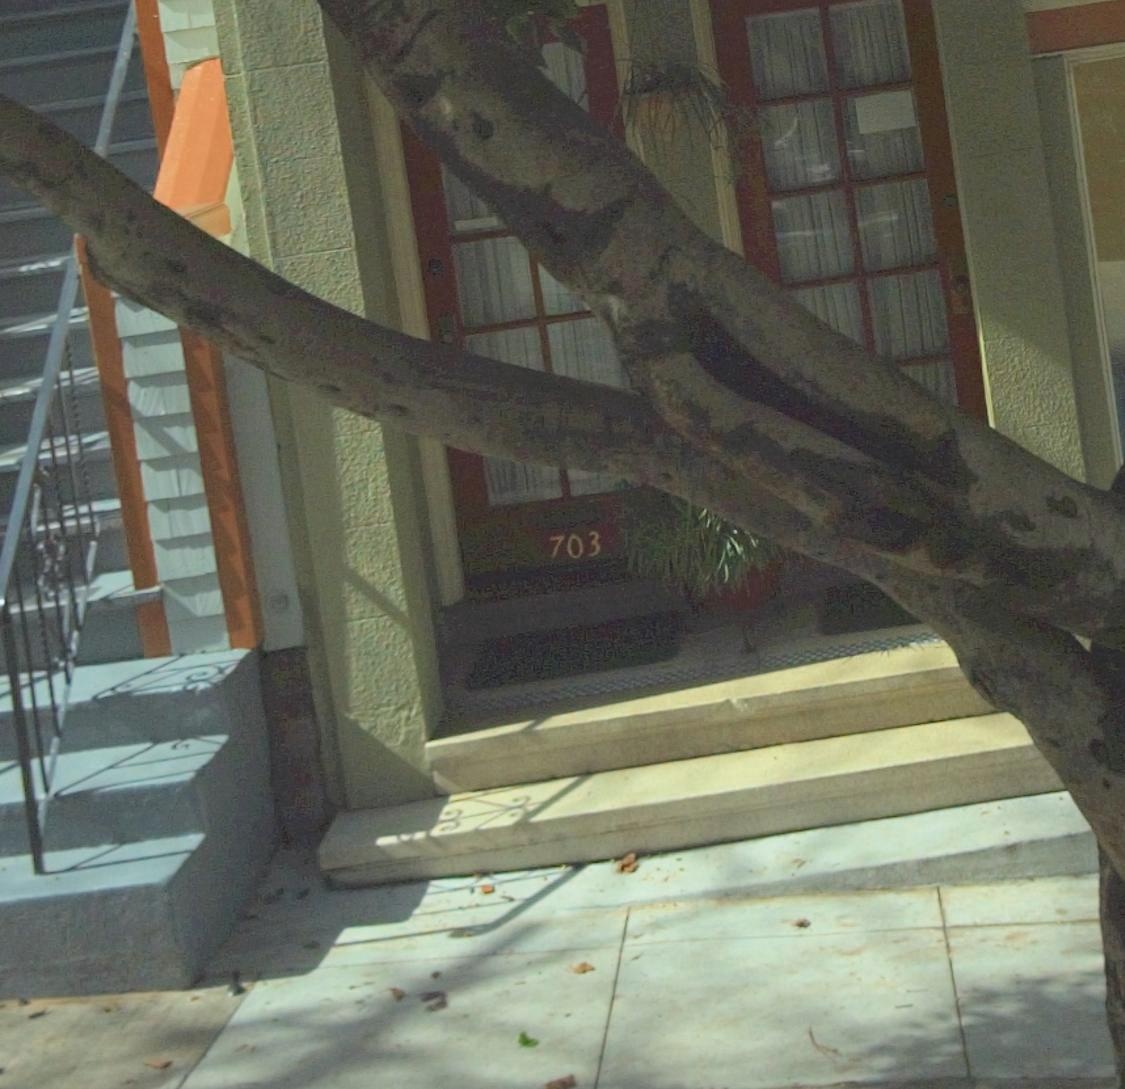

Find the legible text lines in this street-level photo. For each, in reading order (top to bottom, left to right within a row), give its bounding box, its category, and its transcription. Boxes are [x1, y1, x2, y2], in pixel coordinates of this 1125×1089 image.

[548, 528, 605, 562] StreetNumber: 703